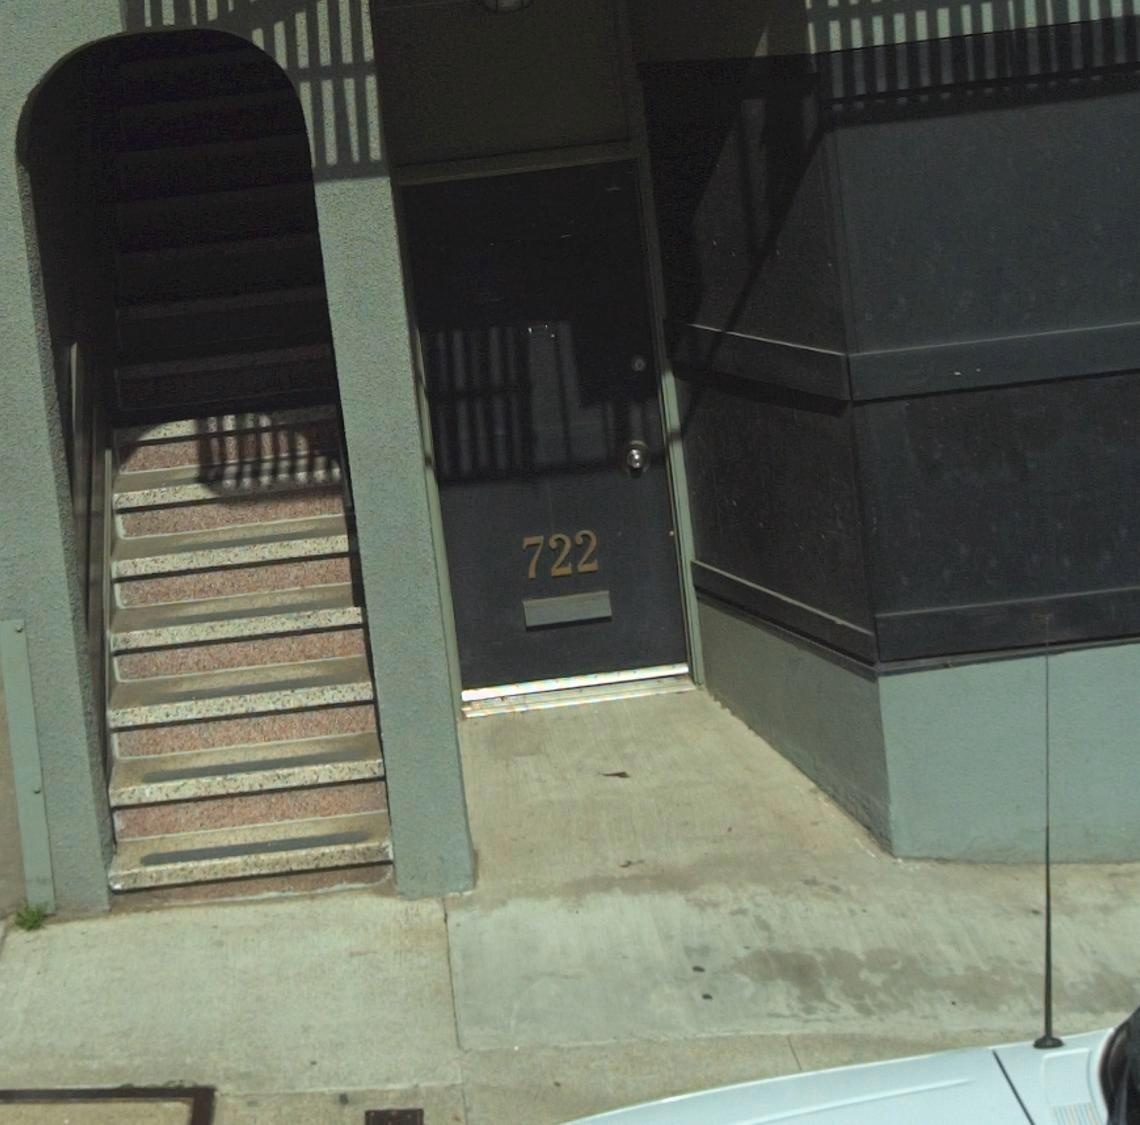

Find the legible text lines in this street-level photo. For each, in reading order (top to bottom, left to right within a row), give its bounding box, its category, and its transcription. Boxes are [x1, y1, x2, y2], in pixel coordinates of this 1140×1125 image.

[520, 527, 600, 581] StreetNumber: 722